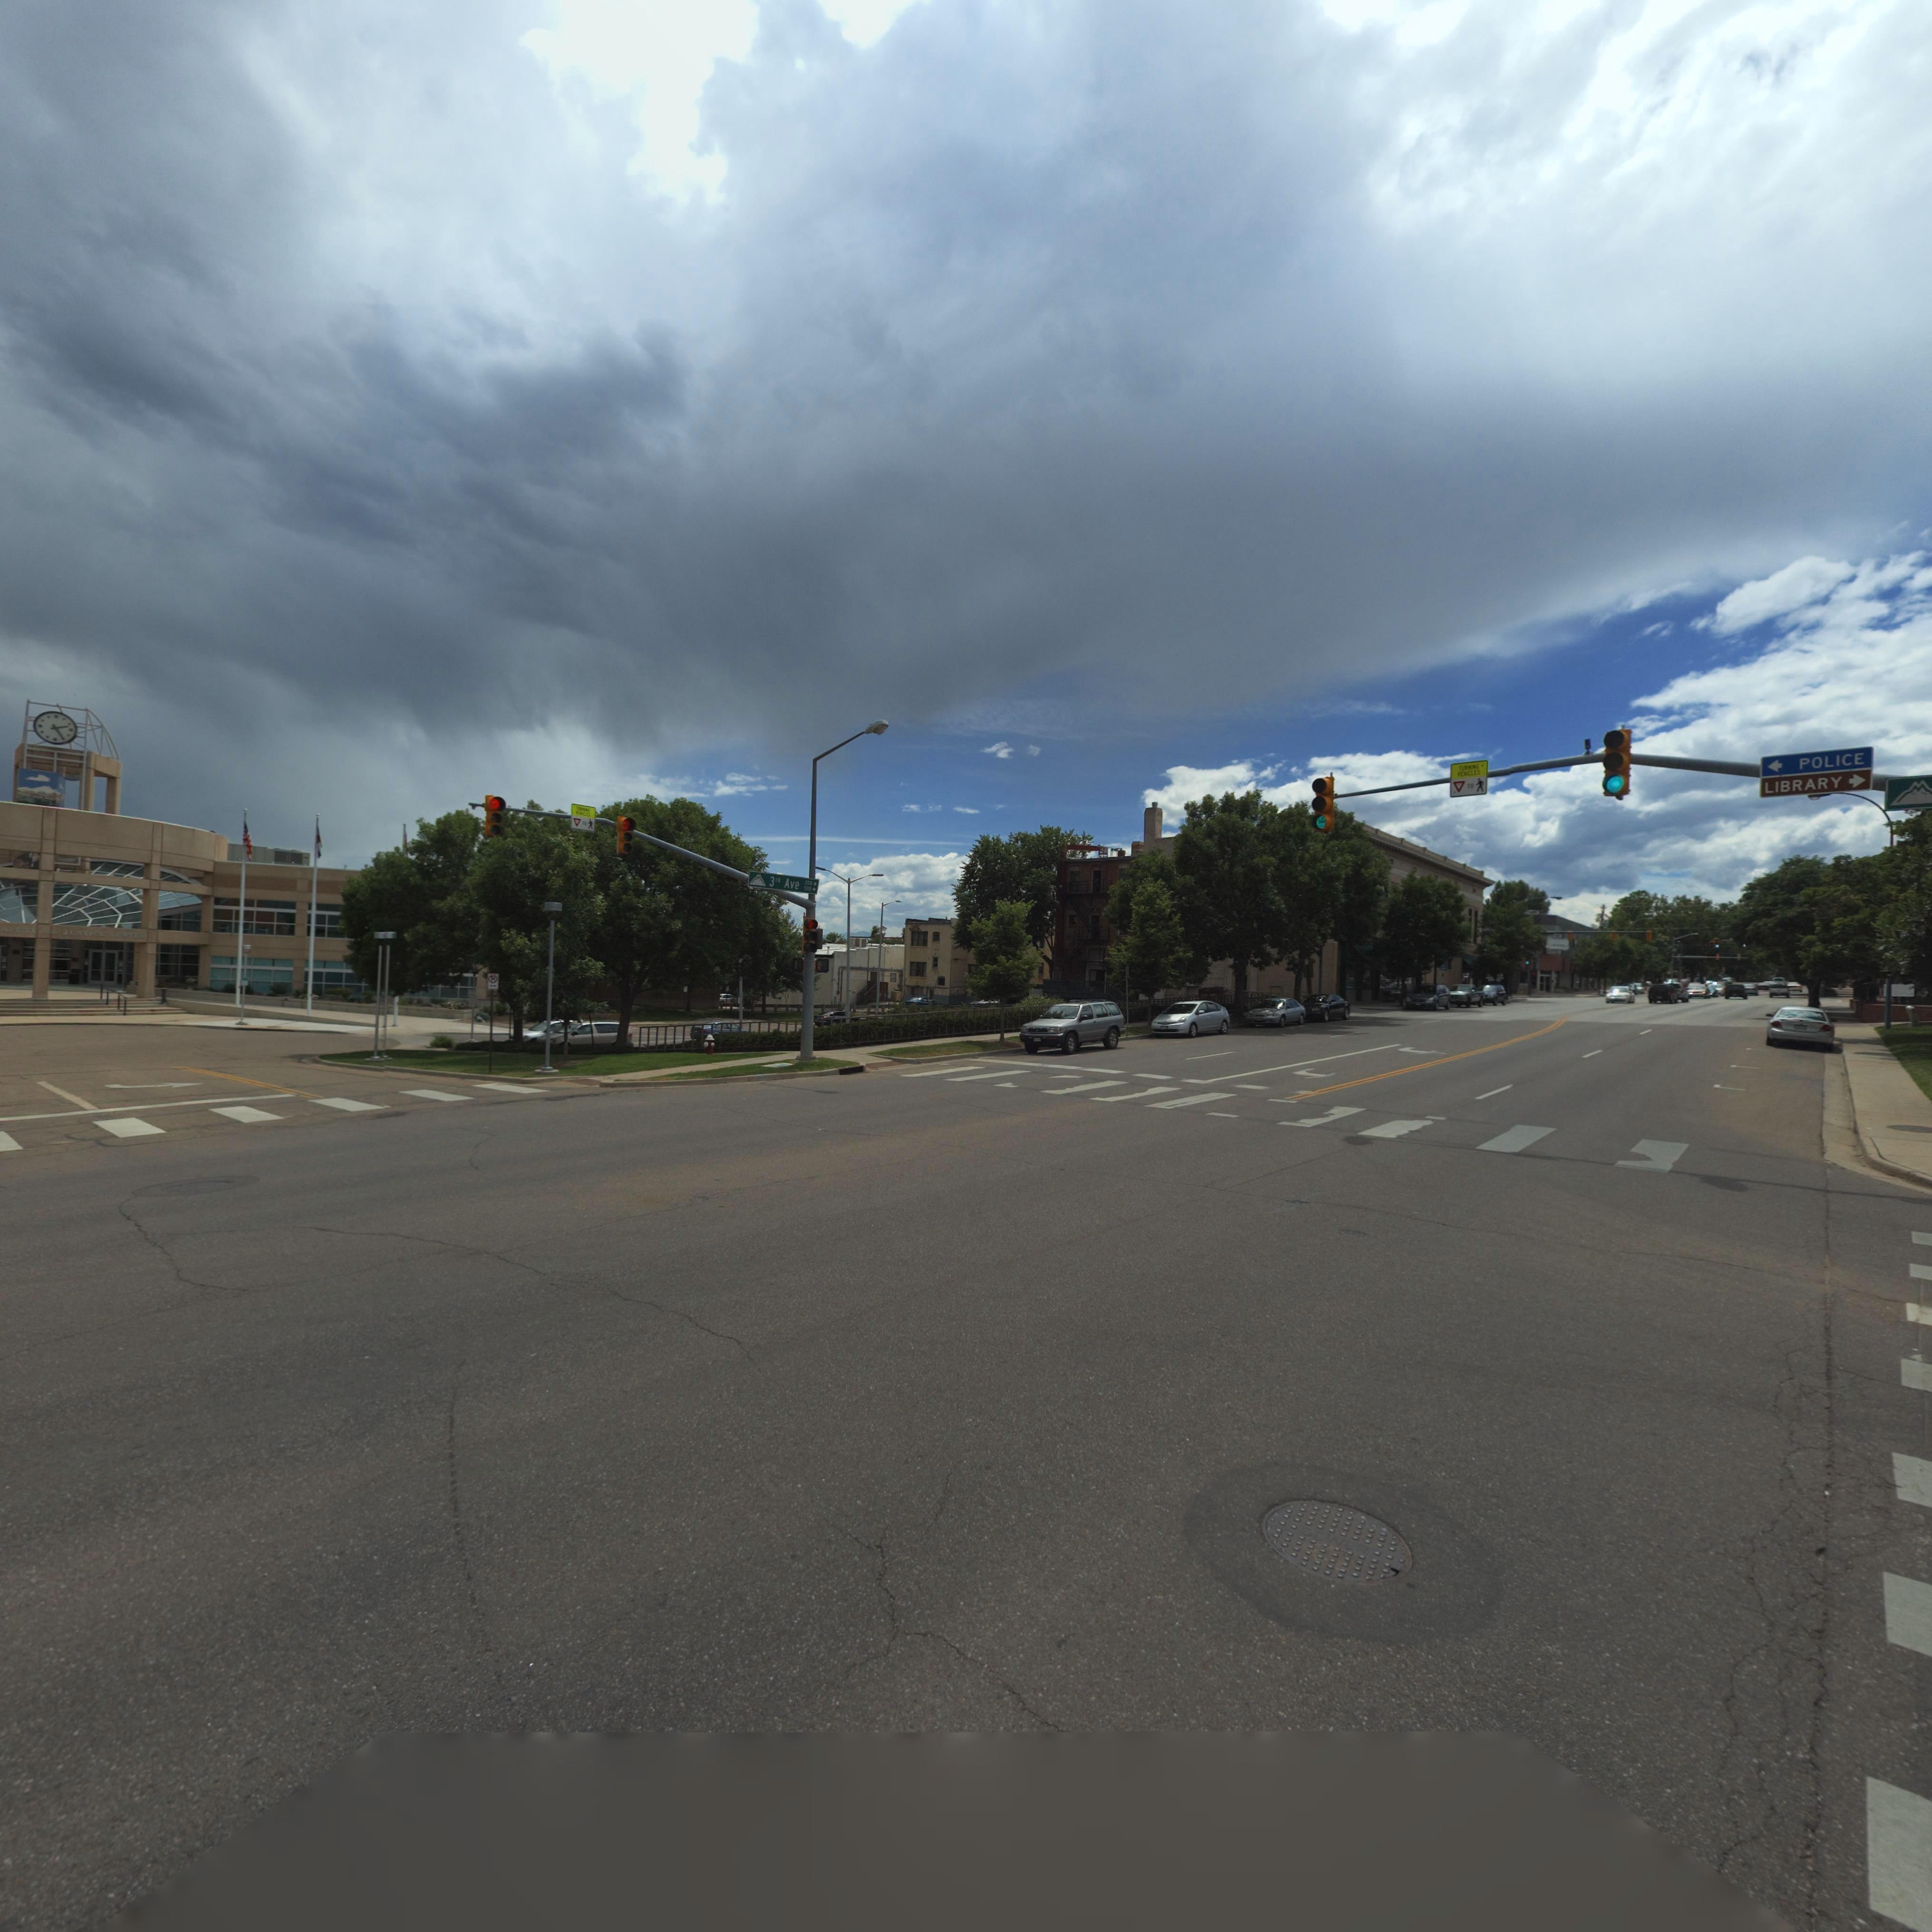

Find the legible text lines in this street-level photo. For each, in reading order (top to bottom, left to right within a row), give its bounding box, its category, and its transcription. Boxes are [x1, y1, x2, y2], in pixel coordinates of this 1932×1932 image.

[769, 875, 800, 890] StreetName: 3rd Ave
[804, 880, 812, 885] StreetNumberRange: 200
[803, 886, 816, 891] StreetNumberRange: 500 ->